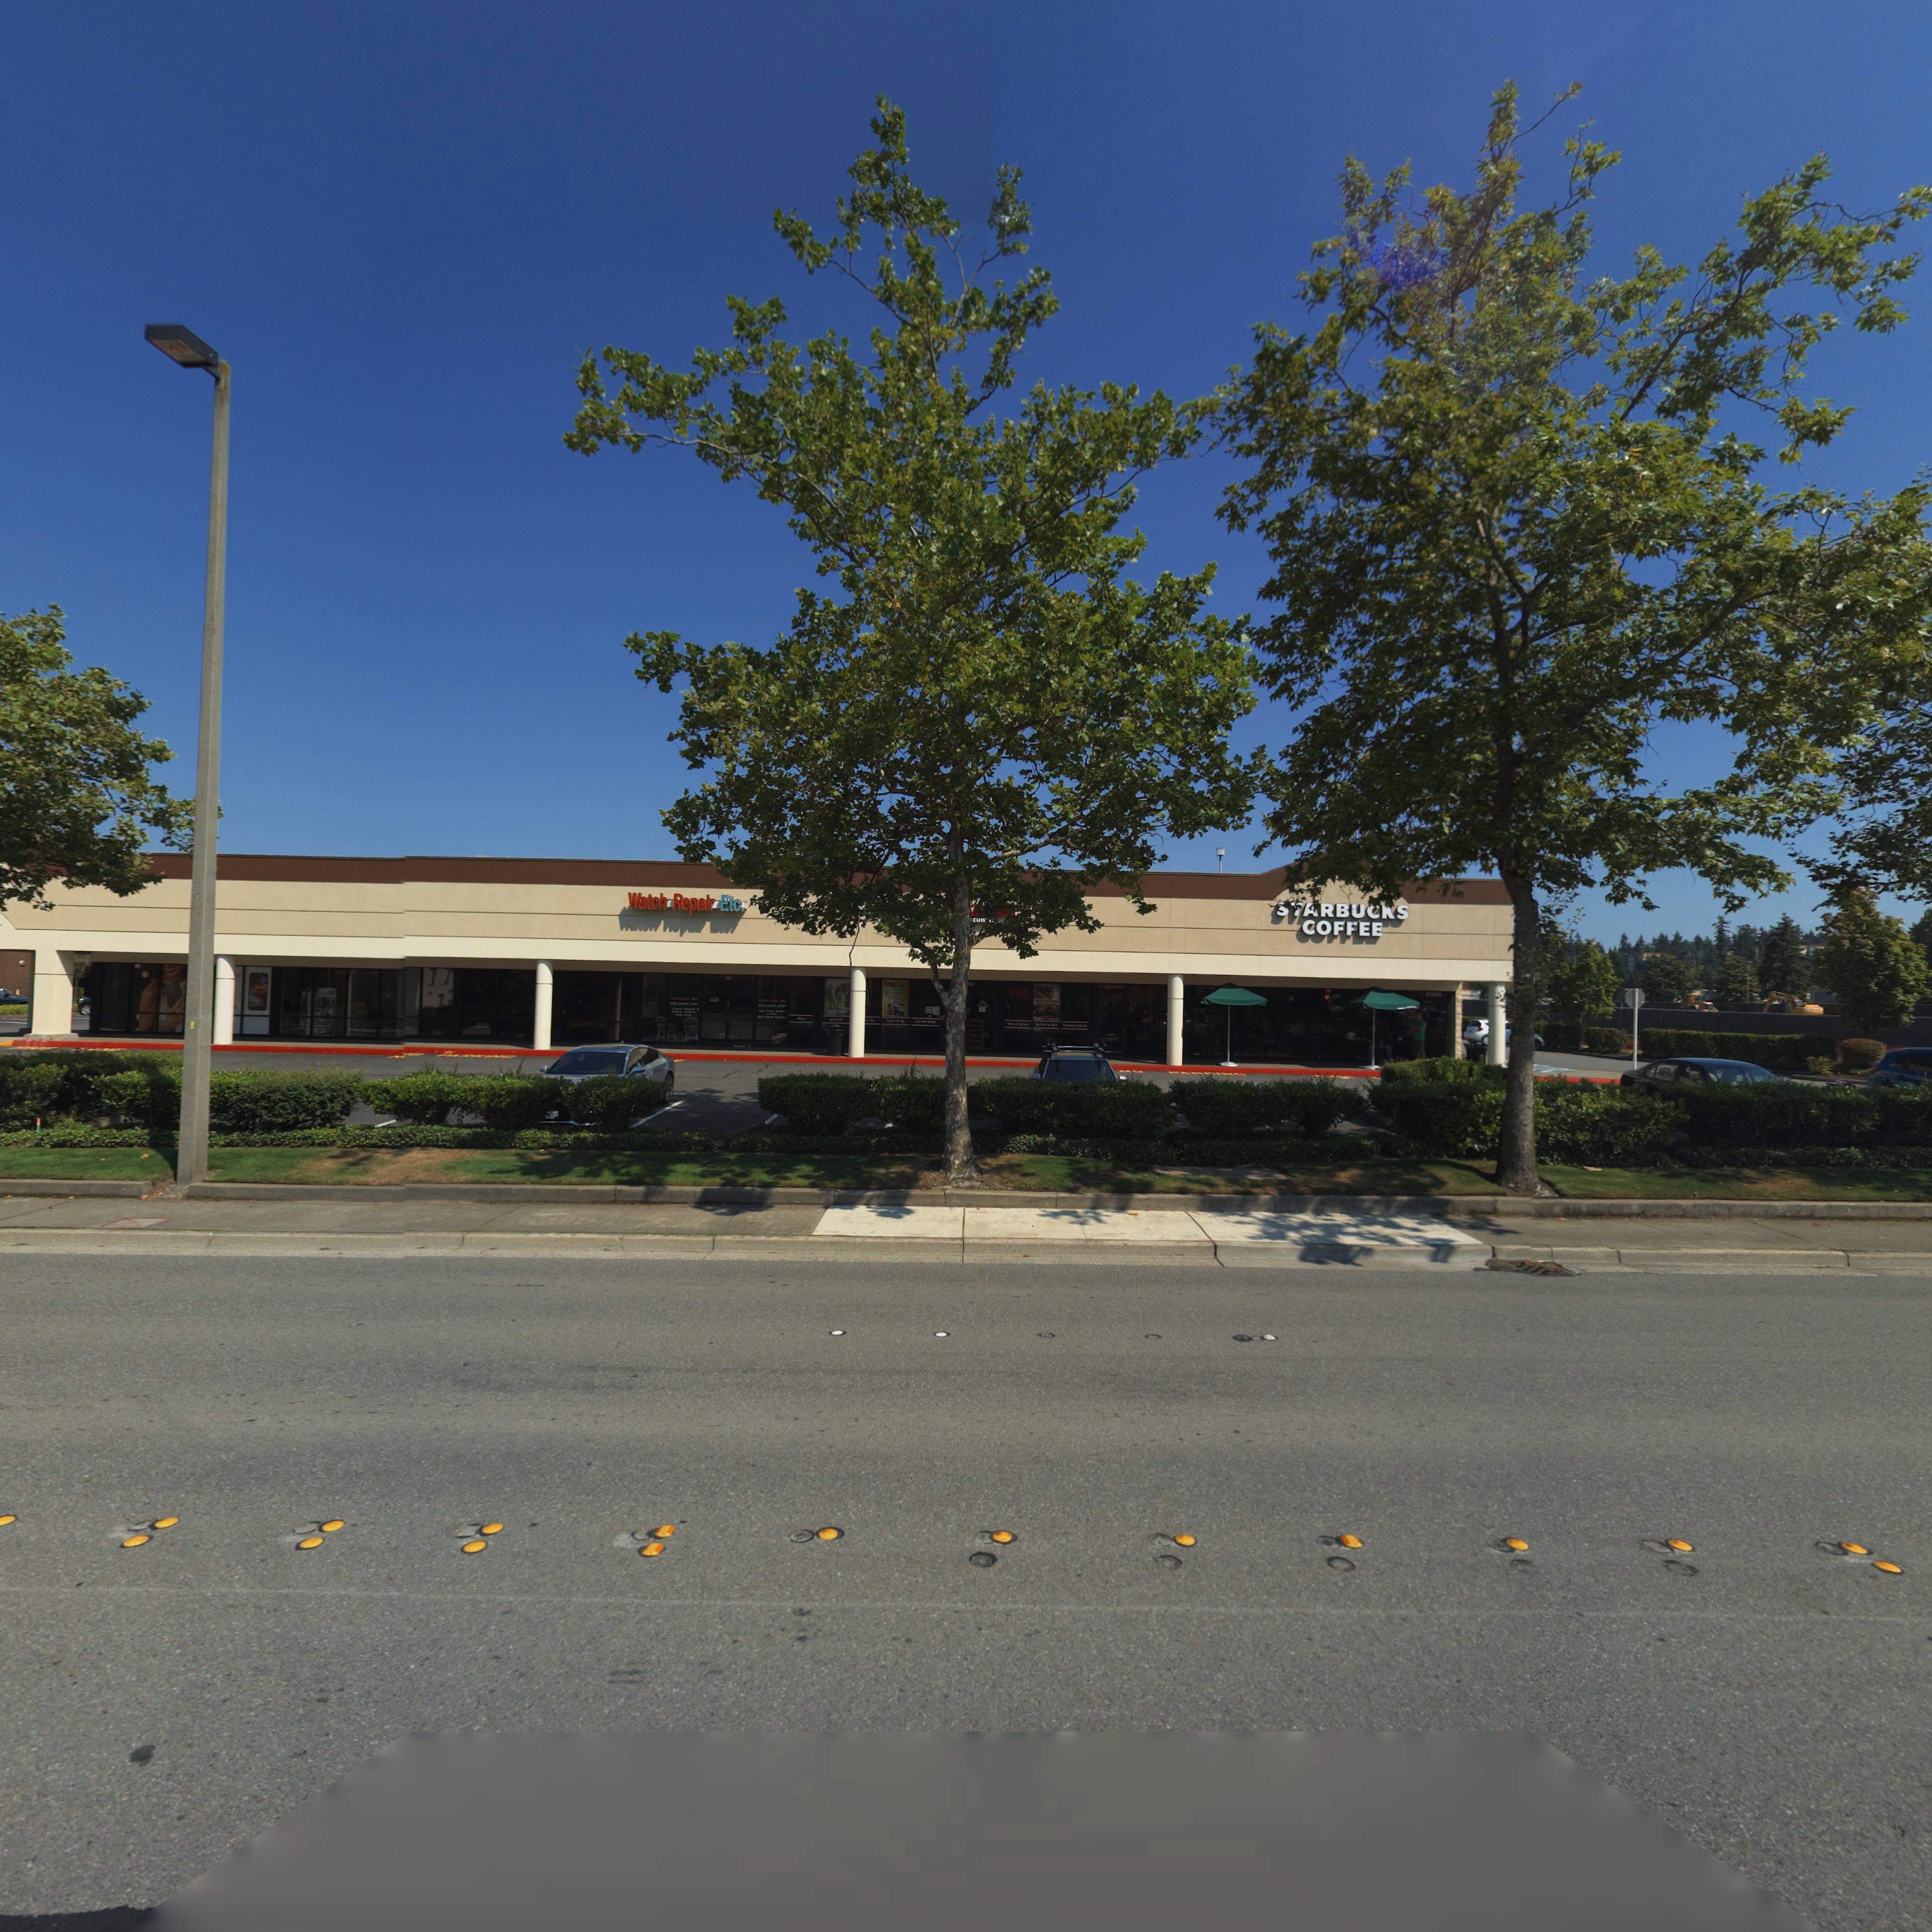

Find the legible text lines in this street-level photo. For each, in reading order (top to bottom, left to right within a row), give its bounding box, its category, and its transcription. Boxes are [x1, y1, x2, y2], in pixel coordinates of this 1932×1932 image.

[627, 891, 743, 915] BusinessName: Watch Repair Etc
[1319, 902, 1366, 919] BusinessName: RBU
[1395, 904, 1410, 920] BusinessName: S
[1301, 919, 1383, 937] BusinessName: COFFEE